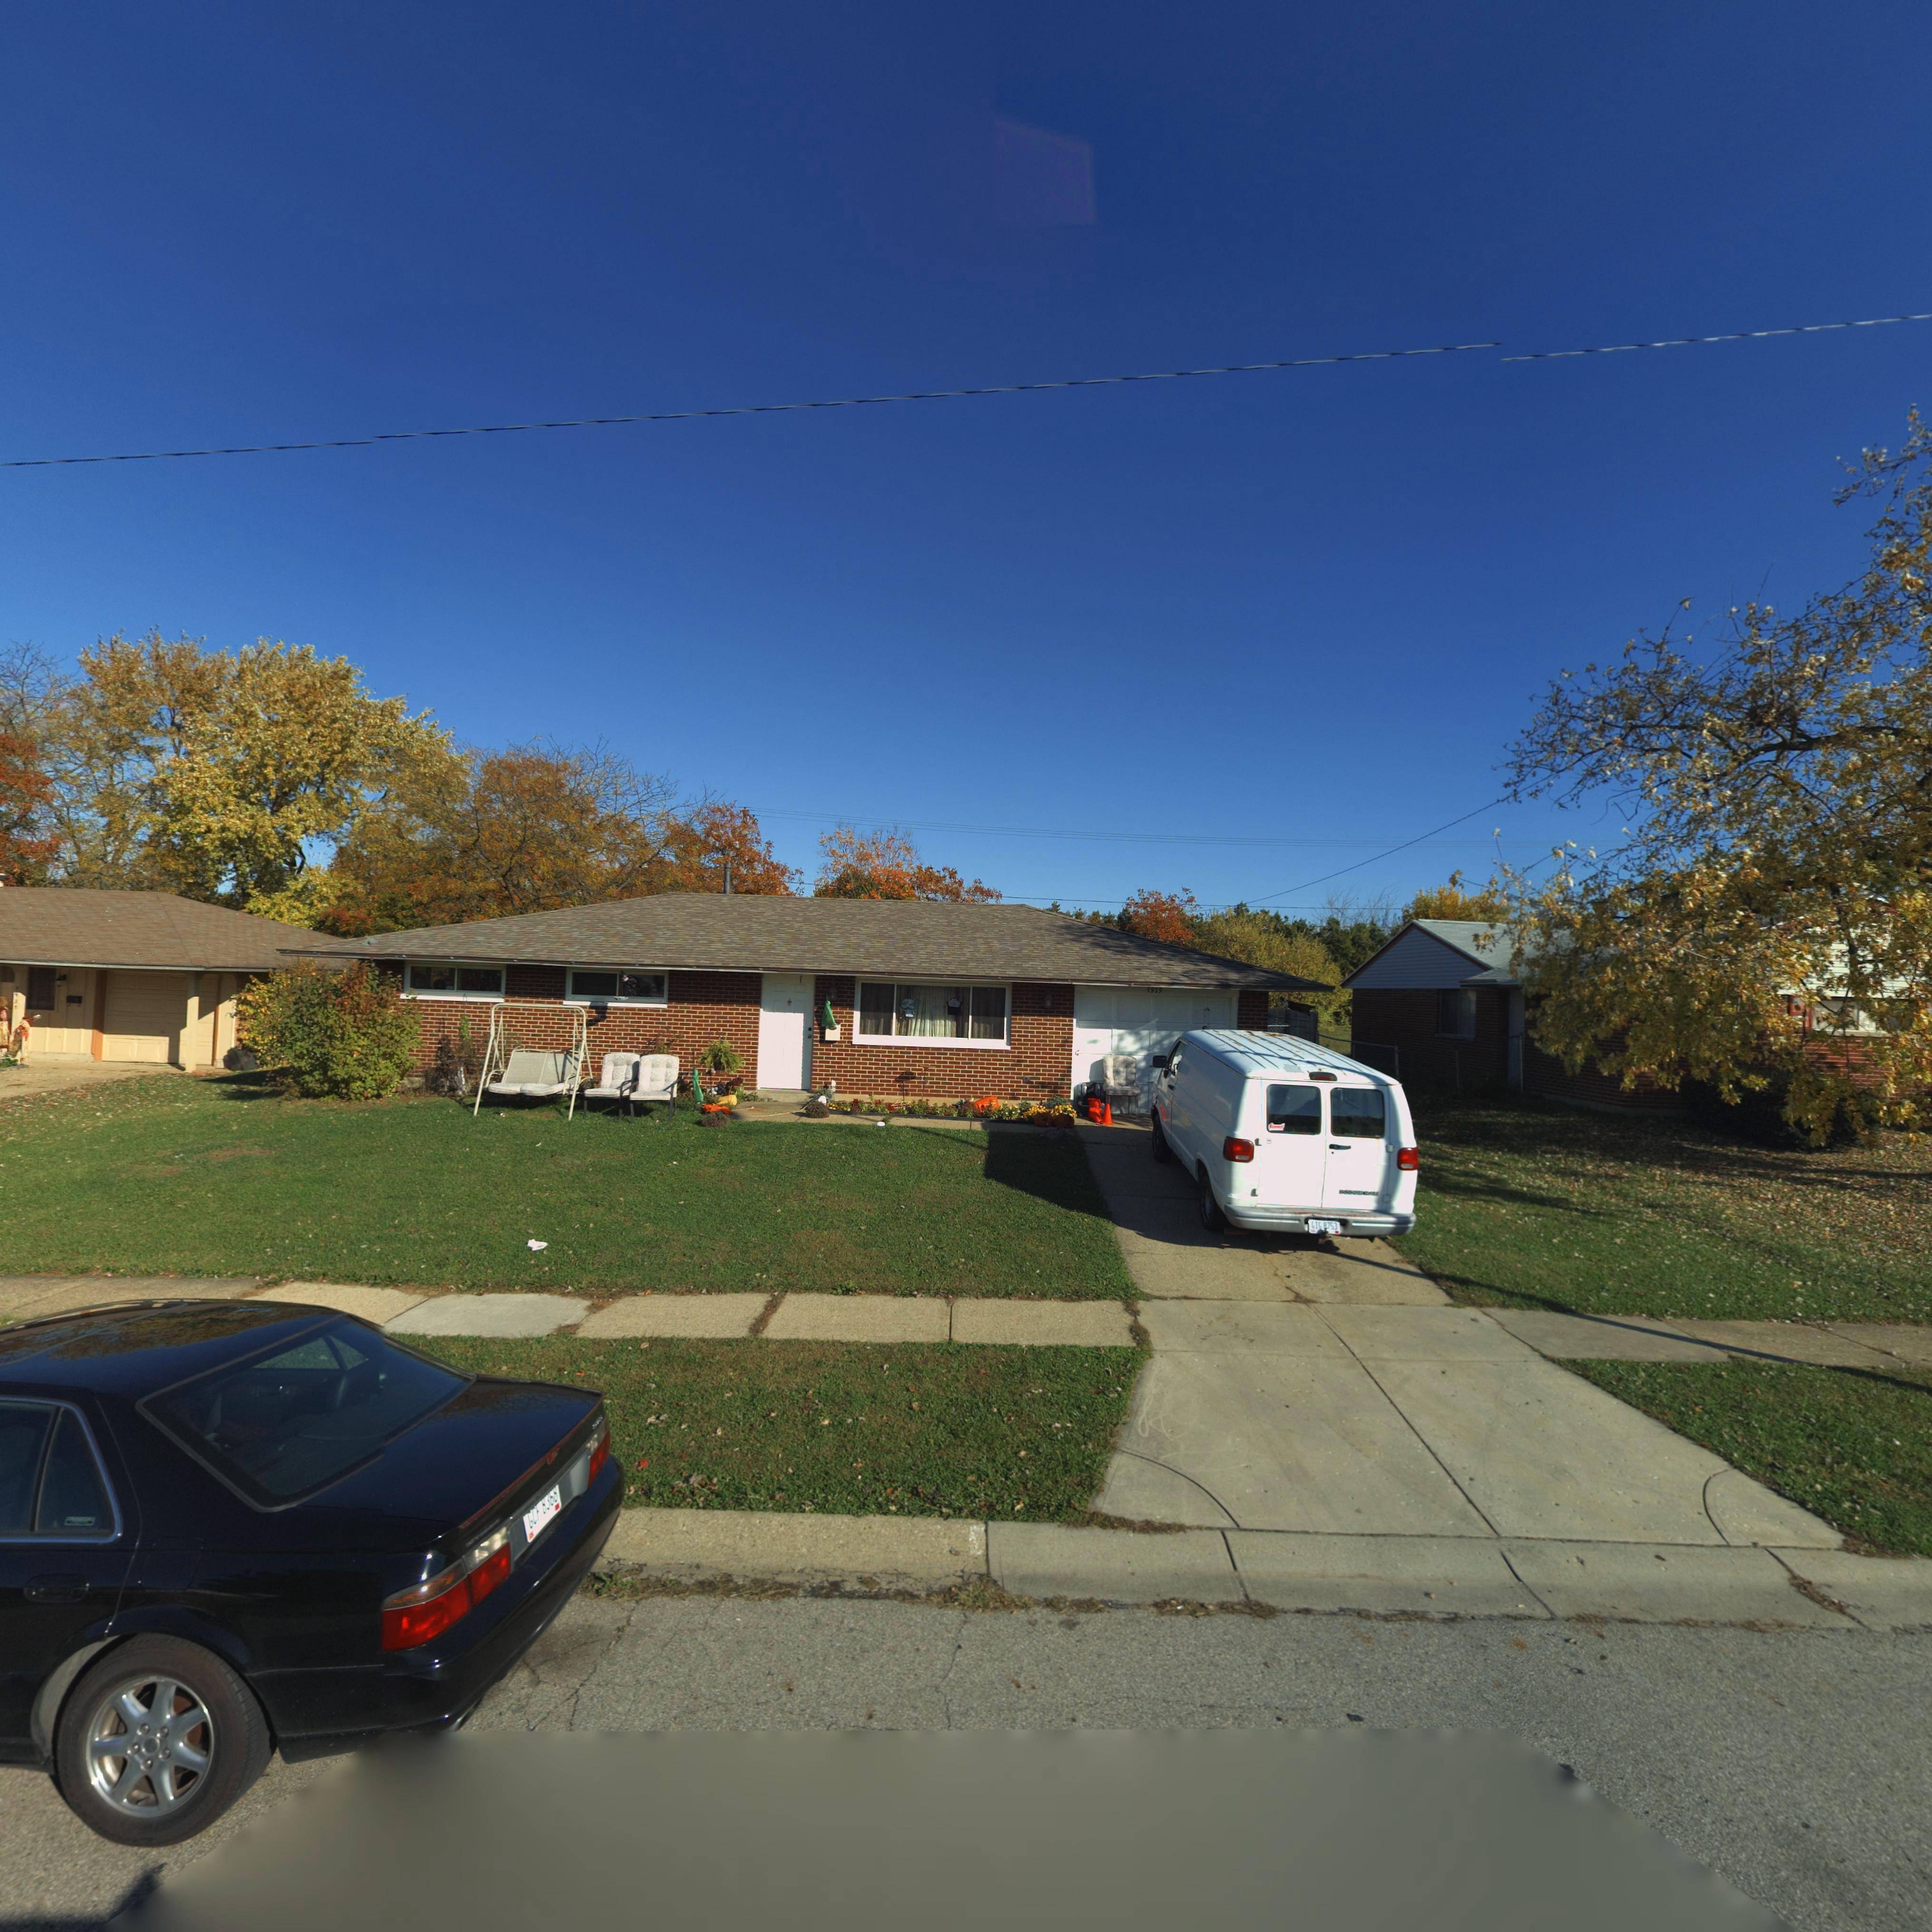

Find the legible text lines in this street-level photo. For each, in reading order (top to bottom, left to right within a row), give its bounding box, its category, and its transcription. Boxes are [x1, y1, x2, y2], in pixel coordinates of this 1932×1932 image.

[13, 985, 19, 1010] StreetNumber: 79**
[1147, 987, 1162, 995] StreetNumber: 7929